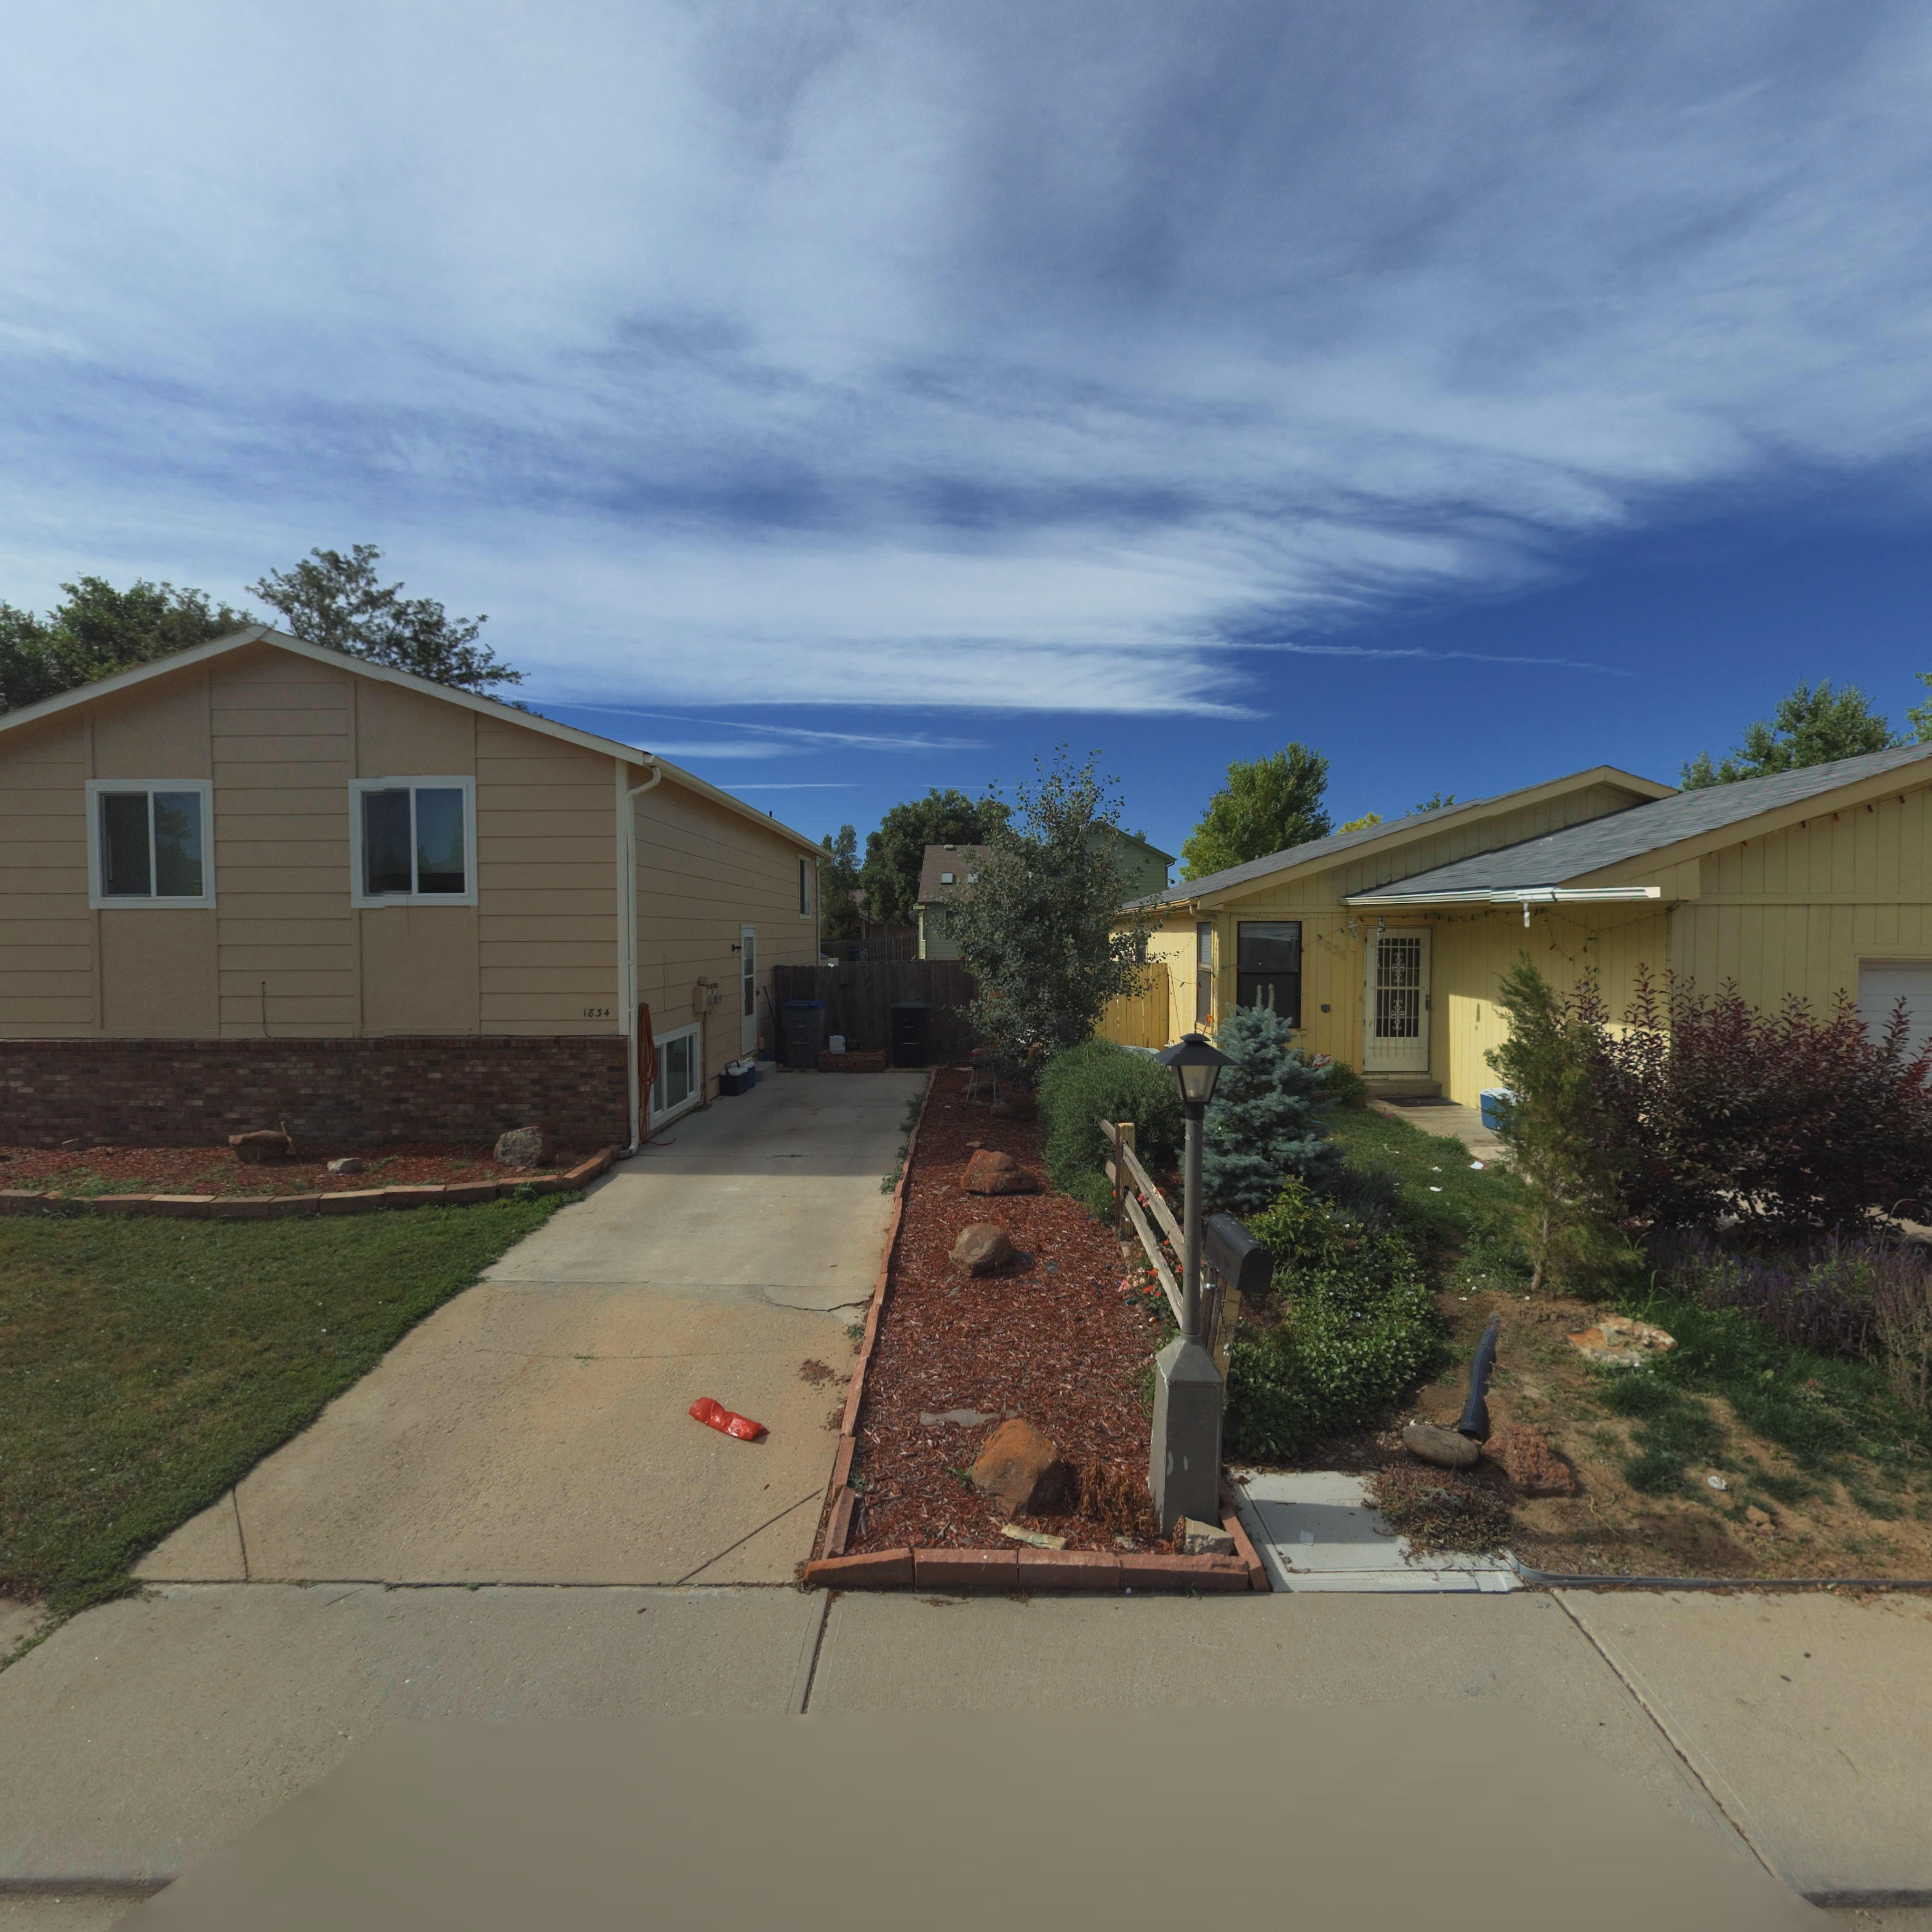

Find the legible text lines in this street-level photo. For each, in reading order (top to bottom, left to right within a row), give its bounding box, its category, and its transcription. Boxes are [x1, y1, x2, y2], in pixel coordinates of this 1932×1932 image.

[1318, 936, 1347, 961] StreetNumber: 1836
[583, 1007, 610, 1017] StreetNumber: 1834